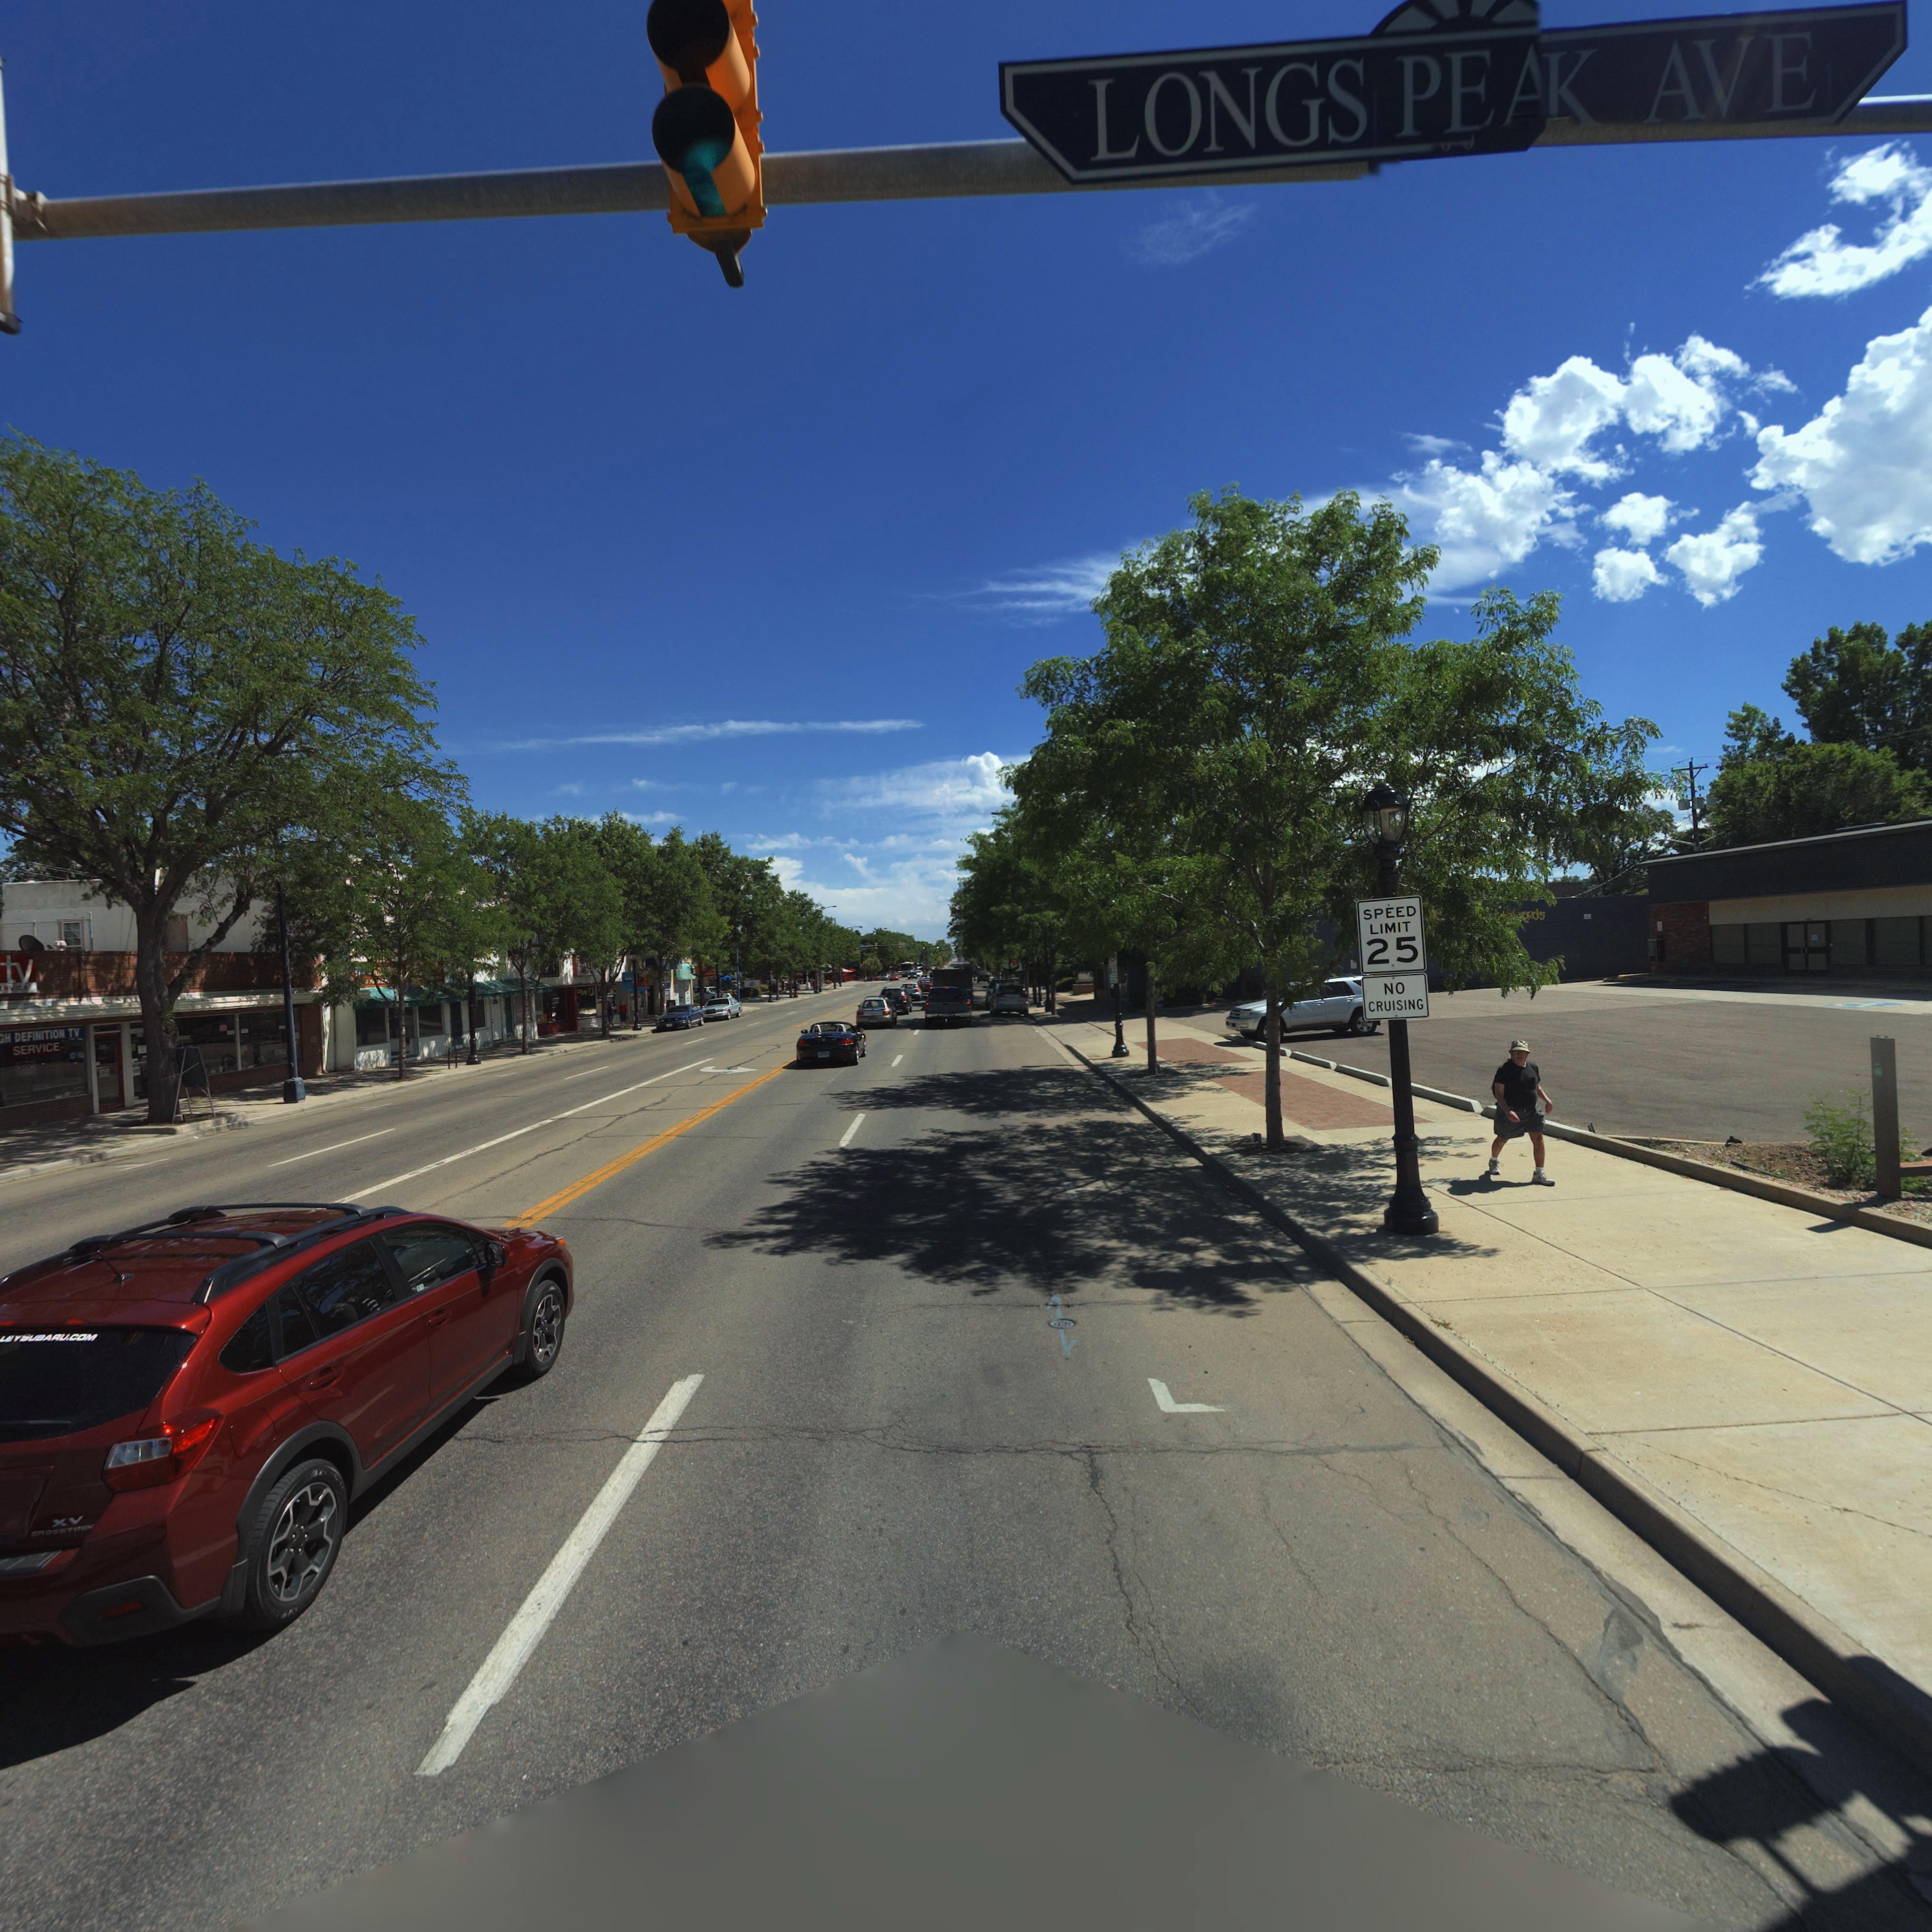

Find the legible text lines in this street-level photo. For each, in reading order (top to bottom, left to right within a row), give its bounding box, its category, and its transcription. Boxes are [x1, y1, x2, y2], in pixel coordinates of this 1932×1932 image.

[1085, 28, 1820, 162] StreetName: LONGS PE** AVE
[14, 957, 34, 984] BusinessName: v
[577, 989, 581, 994] BusinessName: L*
[581, 989, 587, 995] BusinessName: L**